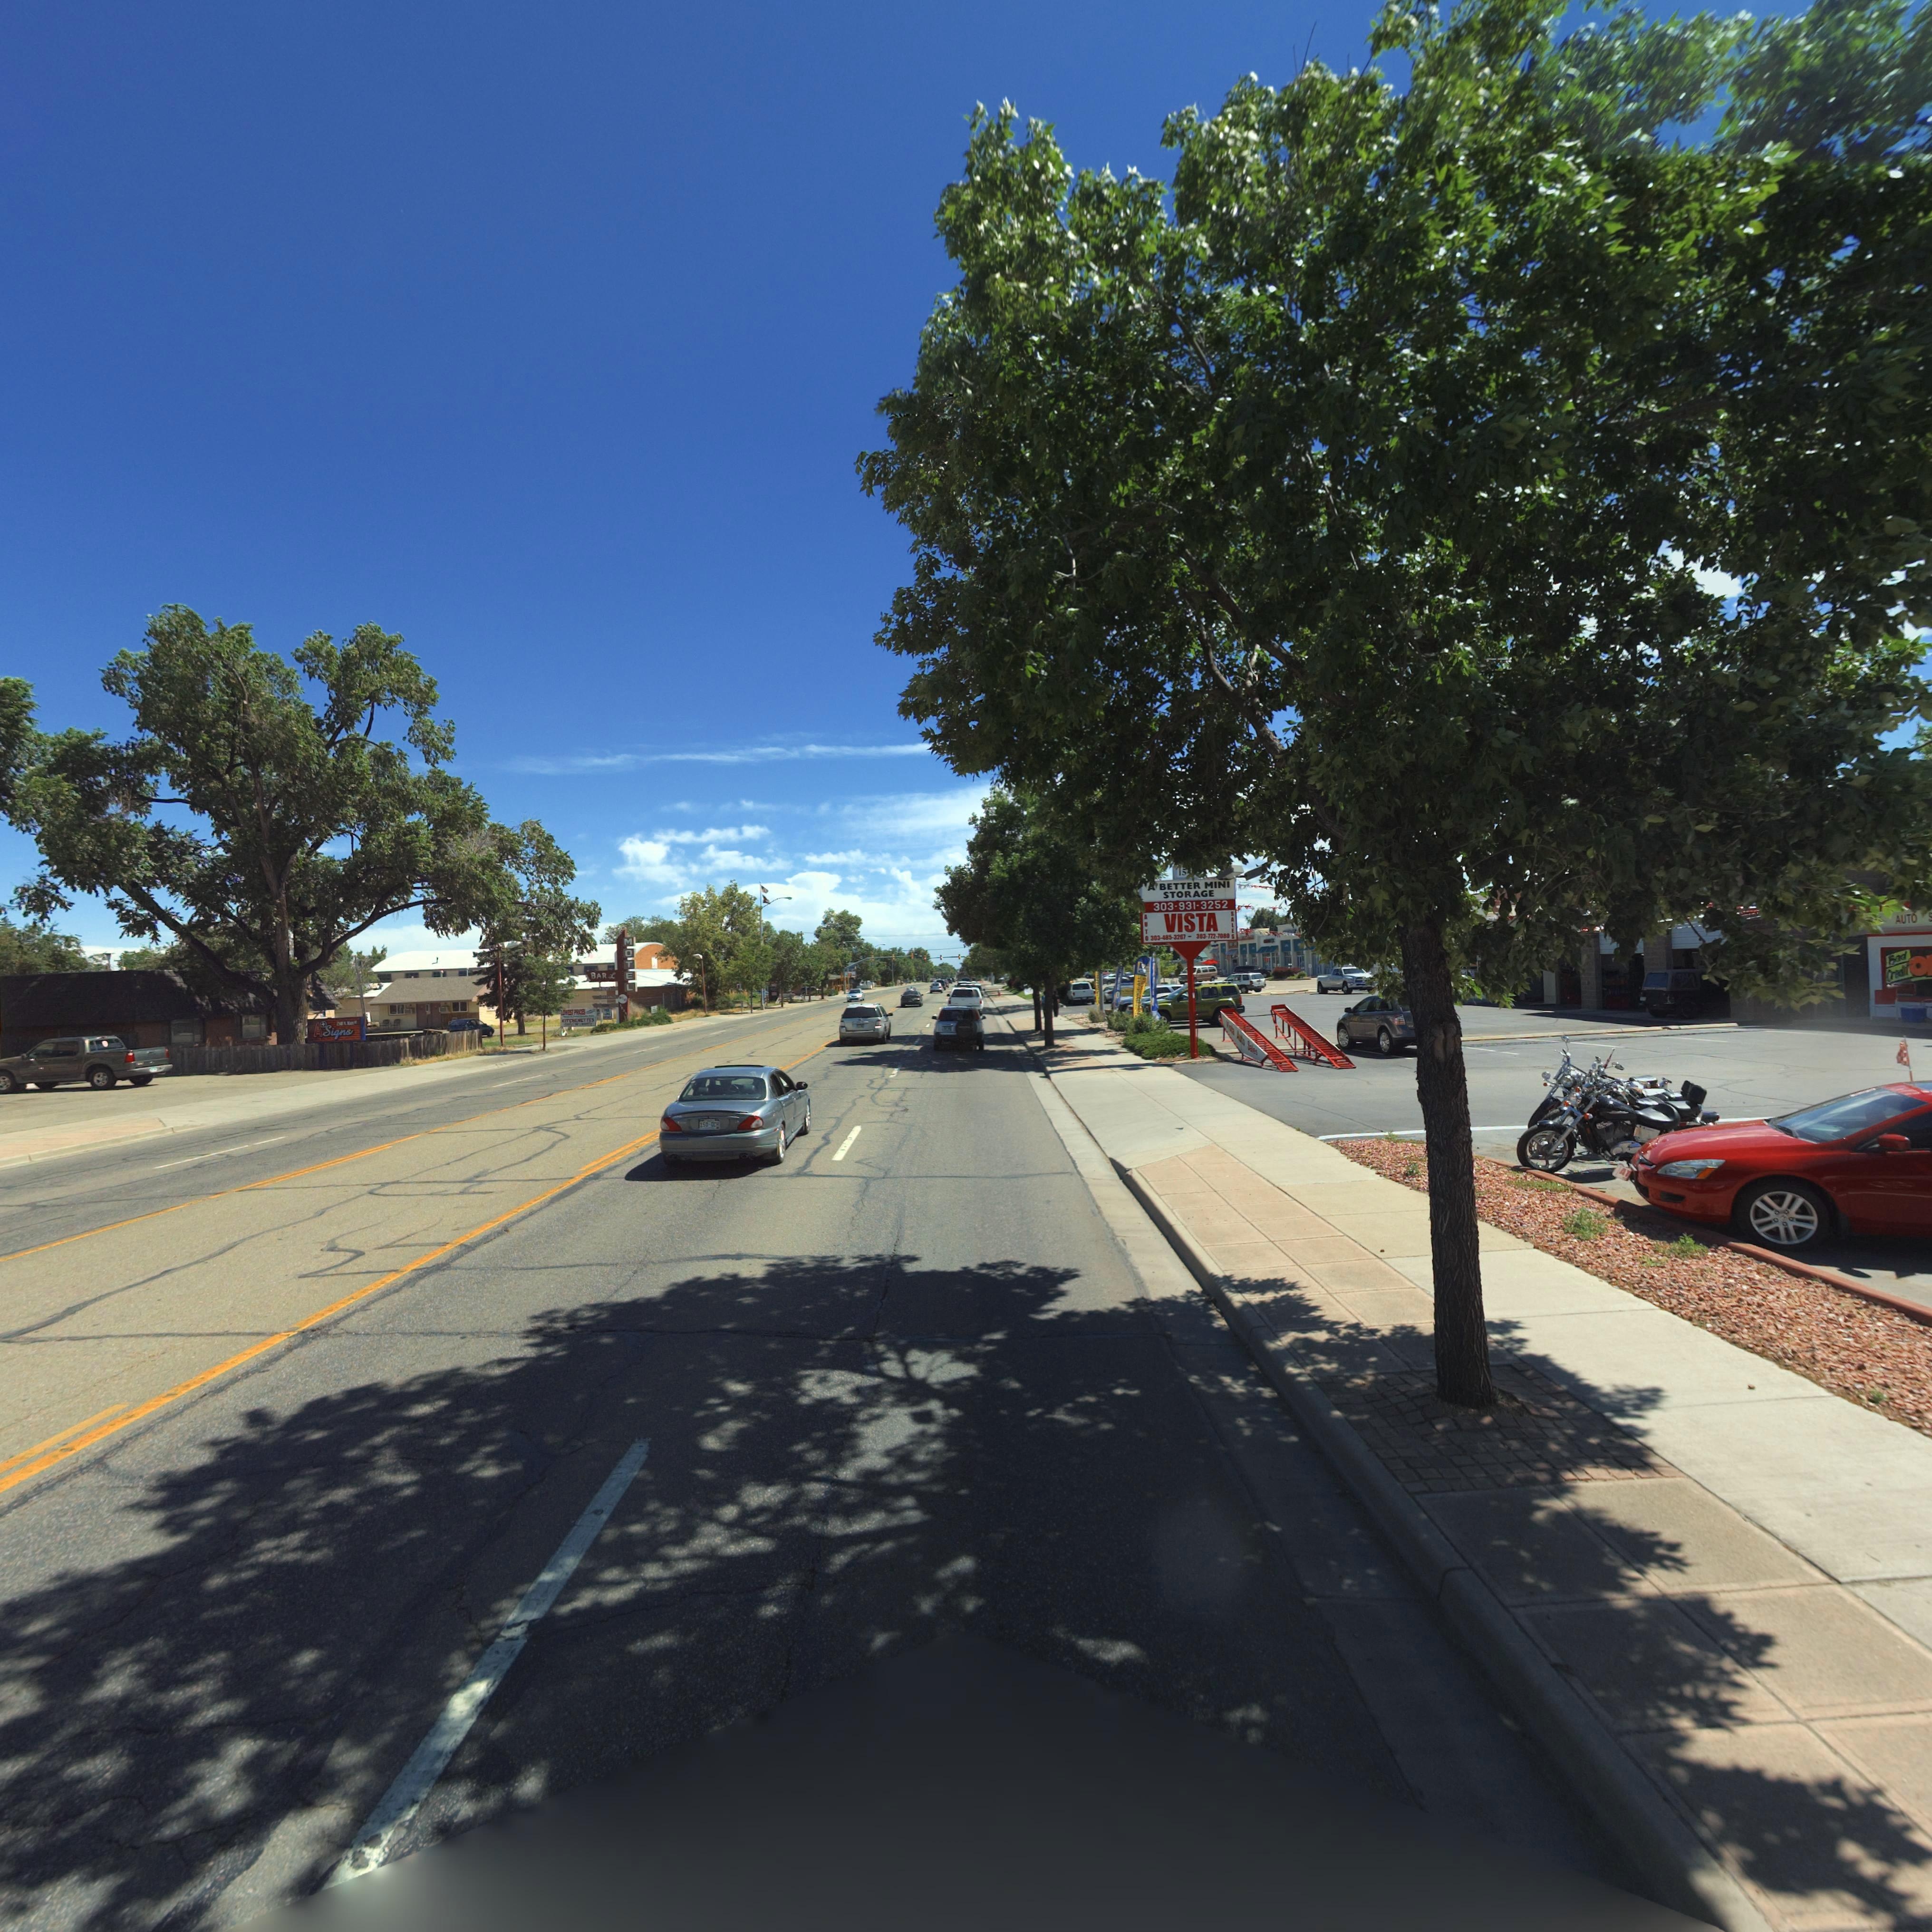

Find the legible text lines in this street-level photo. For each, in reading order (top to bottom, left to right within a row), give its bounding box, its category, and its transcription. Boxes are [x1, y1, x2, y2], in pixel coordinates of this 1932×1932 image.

[1179, 869, 1187, 876] StreetNumber: 15
[1147, 880, 1230, 891] BusinessName: A BETTER MINI 
[1163, 889, 1215, 899] BusinessName: STORAGE
[1143, 913, 1149, 941] BusinessName: AUTO
[1163, 912, 1218, 933] BusinessName: VISTA
[1230, 910, 1235, 939] BusinessName: SALES
[1895, 913, 1917, 925] BusinessName: AUTO
[623, 937, 634, 991] BusinessName: MOTEL
[590, 972, 616, 979] BusinessName: Bar L
[336, 1021, 343, 1026] StreetNumber: *5**
[343, 1020, 357, 1025] StreetName: N MA** **
[313, 1021, 354, 1040] BusinessName: ASigns
[1226, 1020, 1257, 1056] BusinessName: V**** A*** Sa***